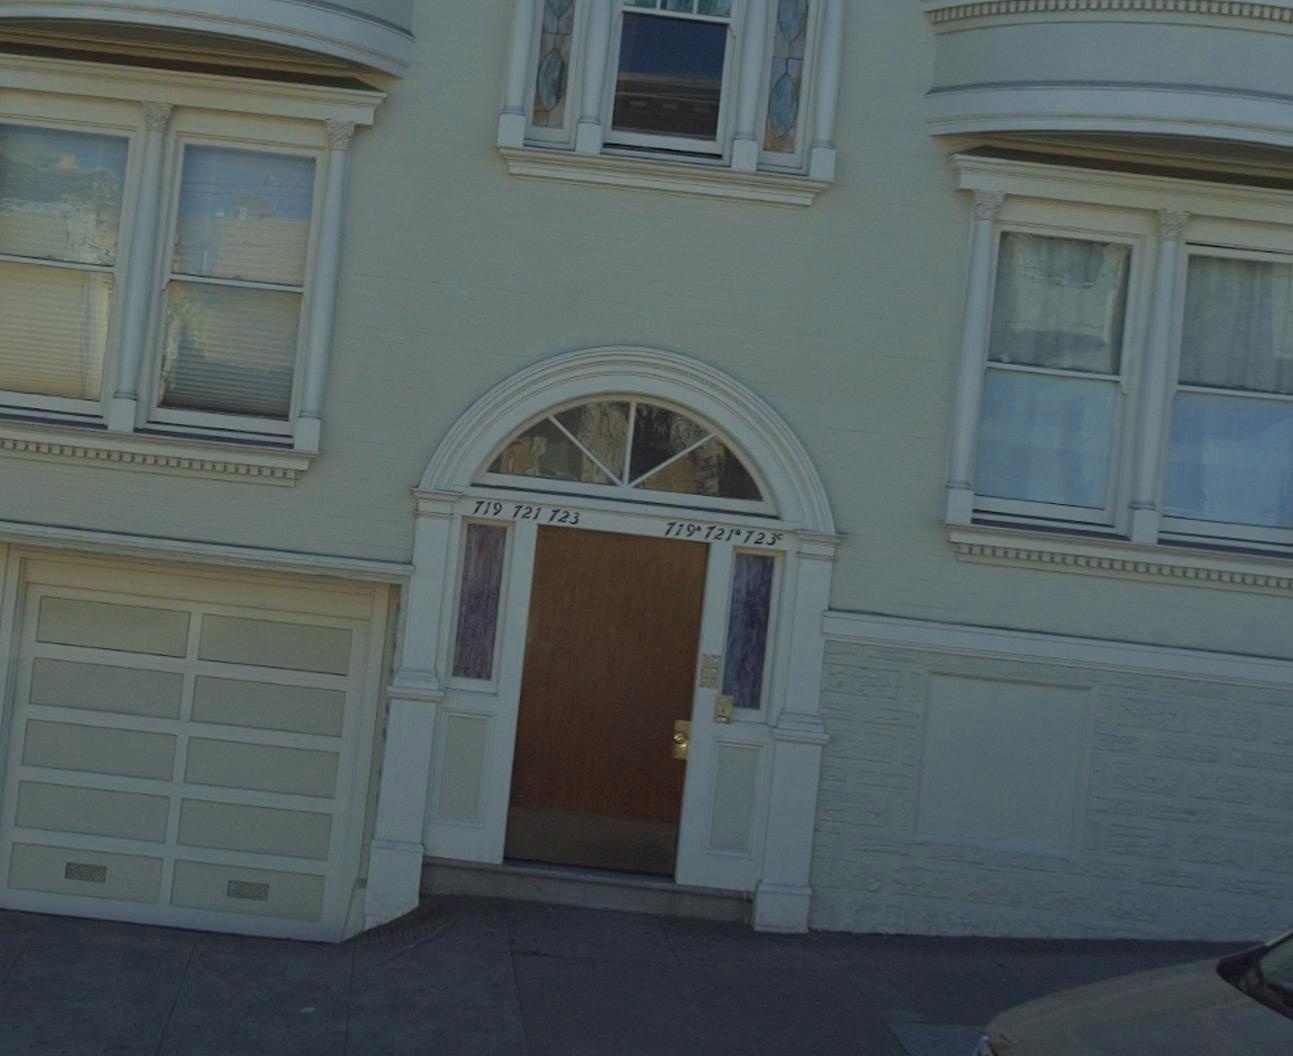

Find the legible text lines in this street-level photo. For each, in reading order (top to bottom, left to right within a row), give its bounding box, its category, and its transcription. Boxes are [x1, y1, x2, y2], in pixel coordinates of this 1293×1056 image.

[471, 500, 504, 517] StreetNumber: 719
[511, 503, 544, 522] StreetNumber: 721
[547, 507, 581, 526] StreetNumber: 723
[662, 520, 698, 539] StreetNumber: 719
[702, 524, 736, 543] StreetNumber: 721
[740, 529, 779, 547] StreetNumber: 723